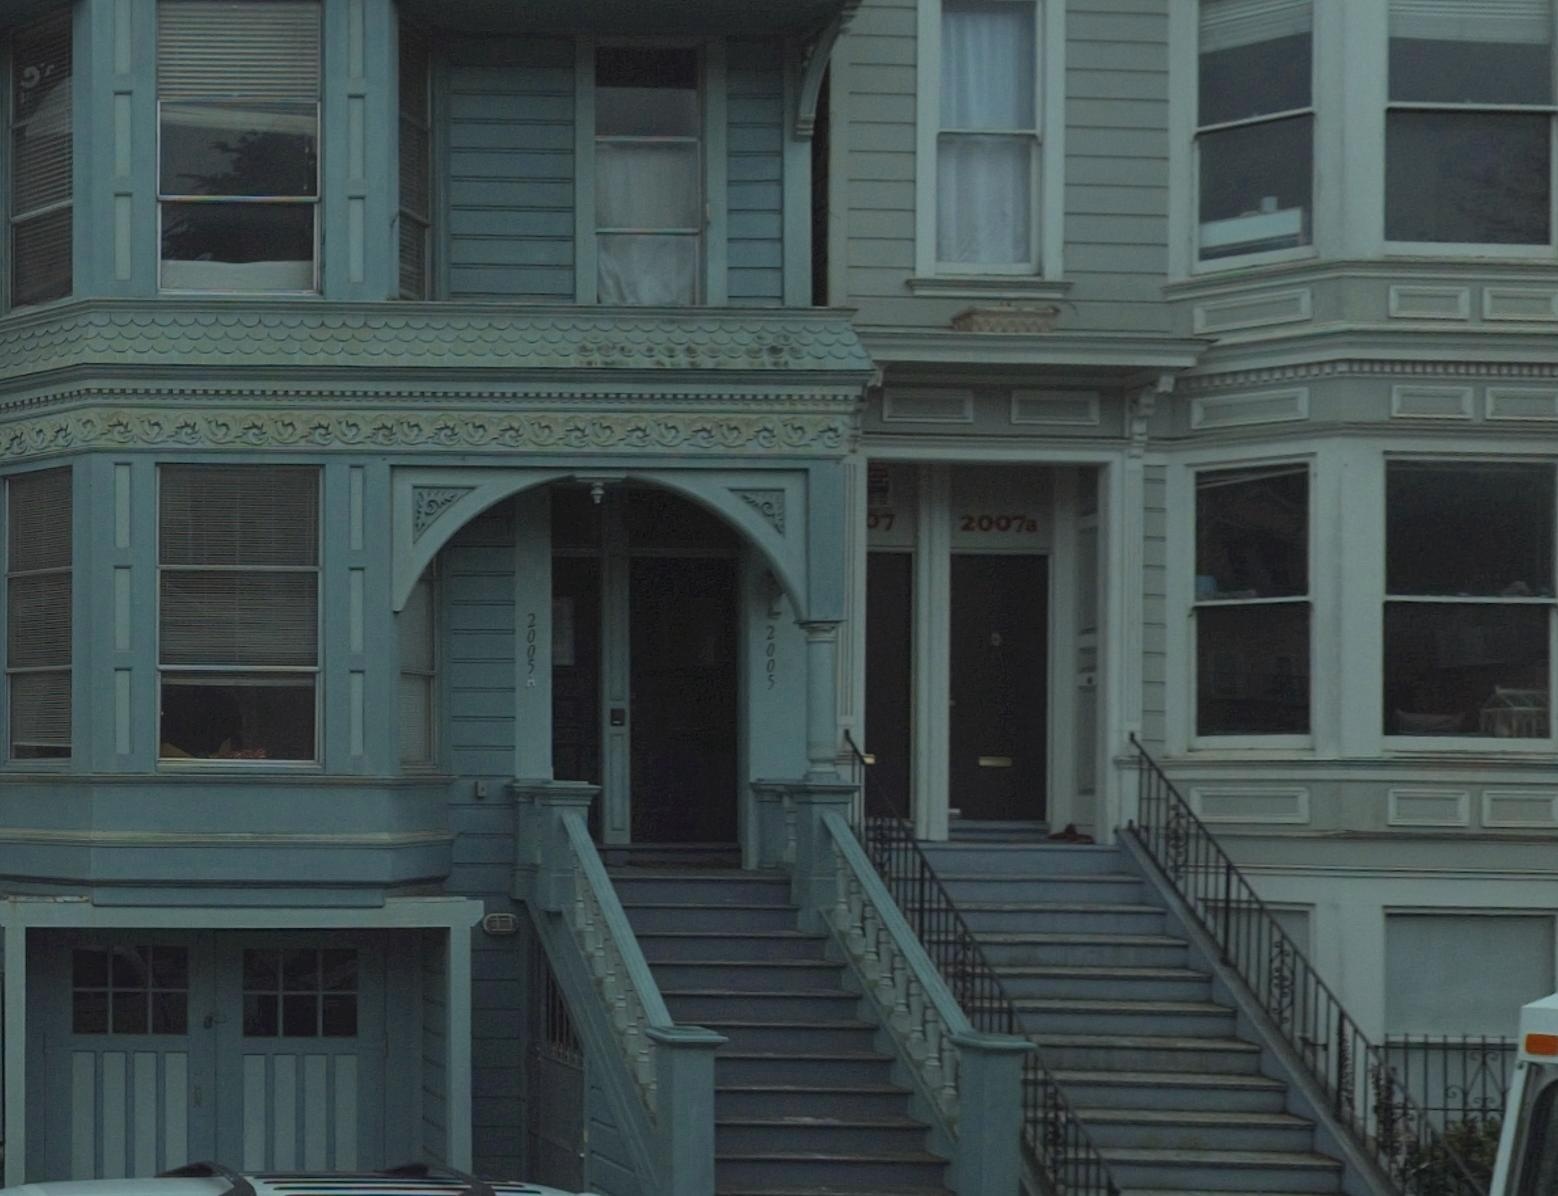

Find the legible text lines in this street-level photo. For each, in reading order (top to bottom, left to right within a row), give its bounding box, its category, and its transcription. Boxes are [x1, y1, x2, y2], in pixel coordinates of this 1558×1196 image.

[864, 511, 897, 532] StreetNumber: 07
[958, 512, 1040, 534] StreetNumber: 2007a
[524, 611, 538, 690] StreetNumber: 2005A
[763, 622, 776, 689] StreetNumber: 2005